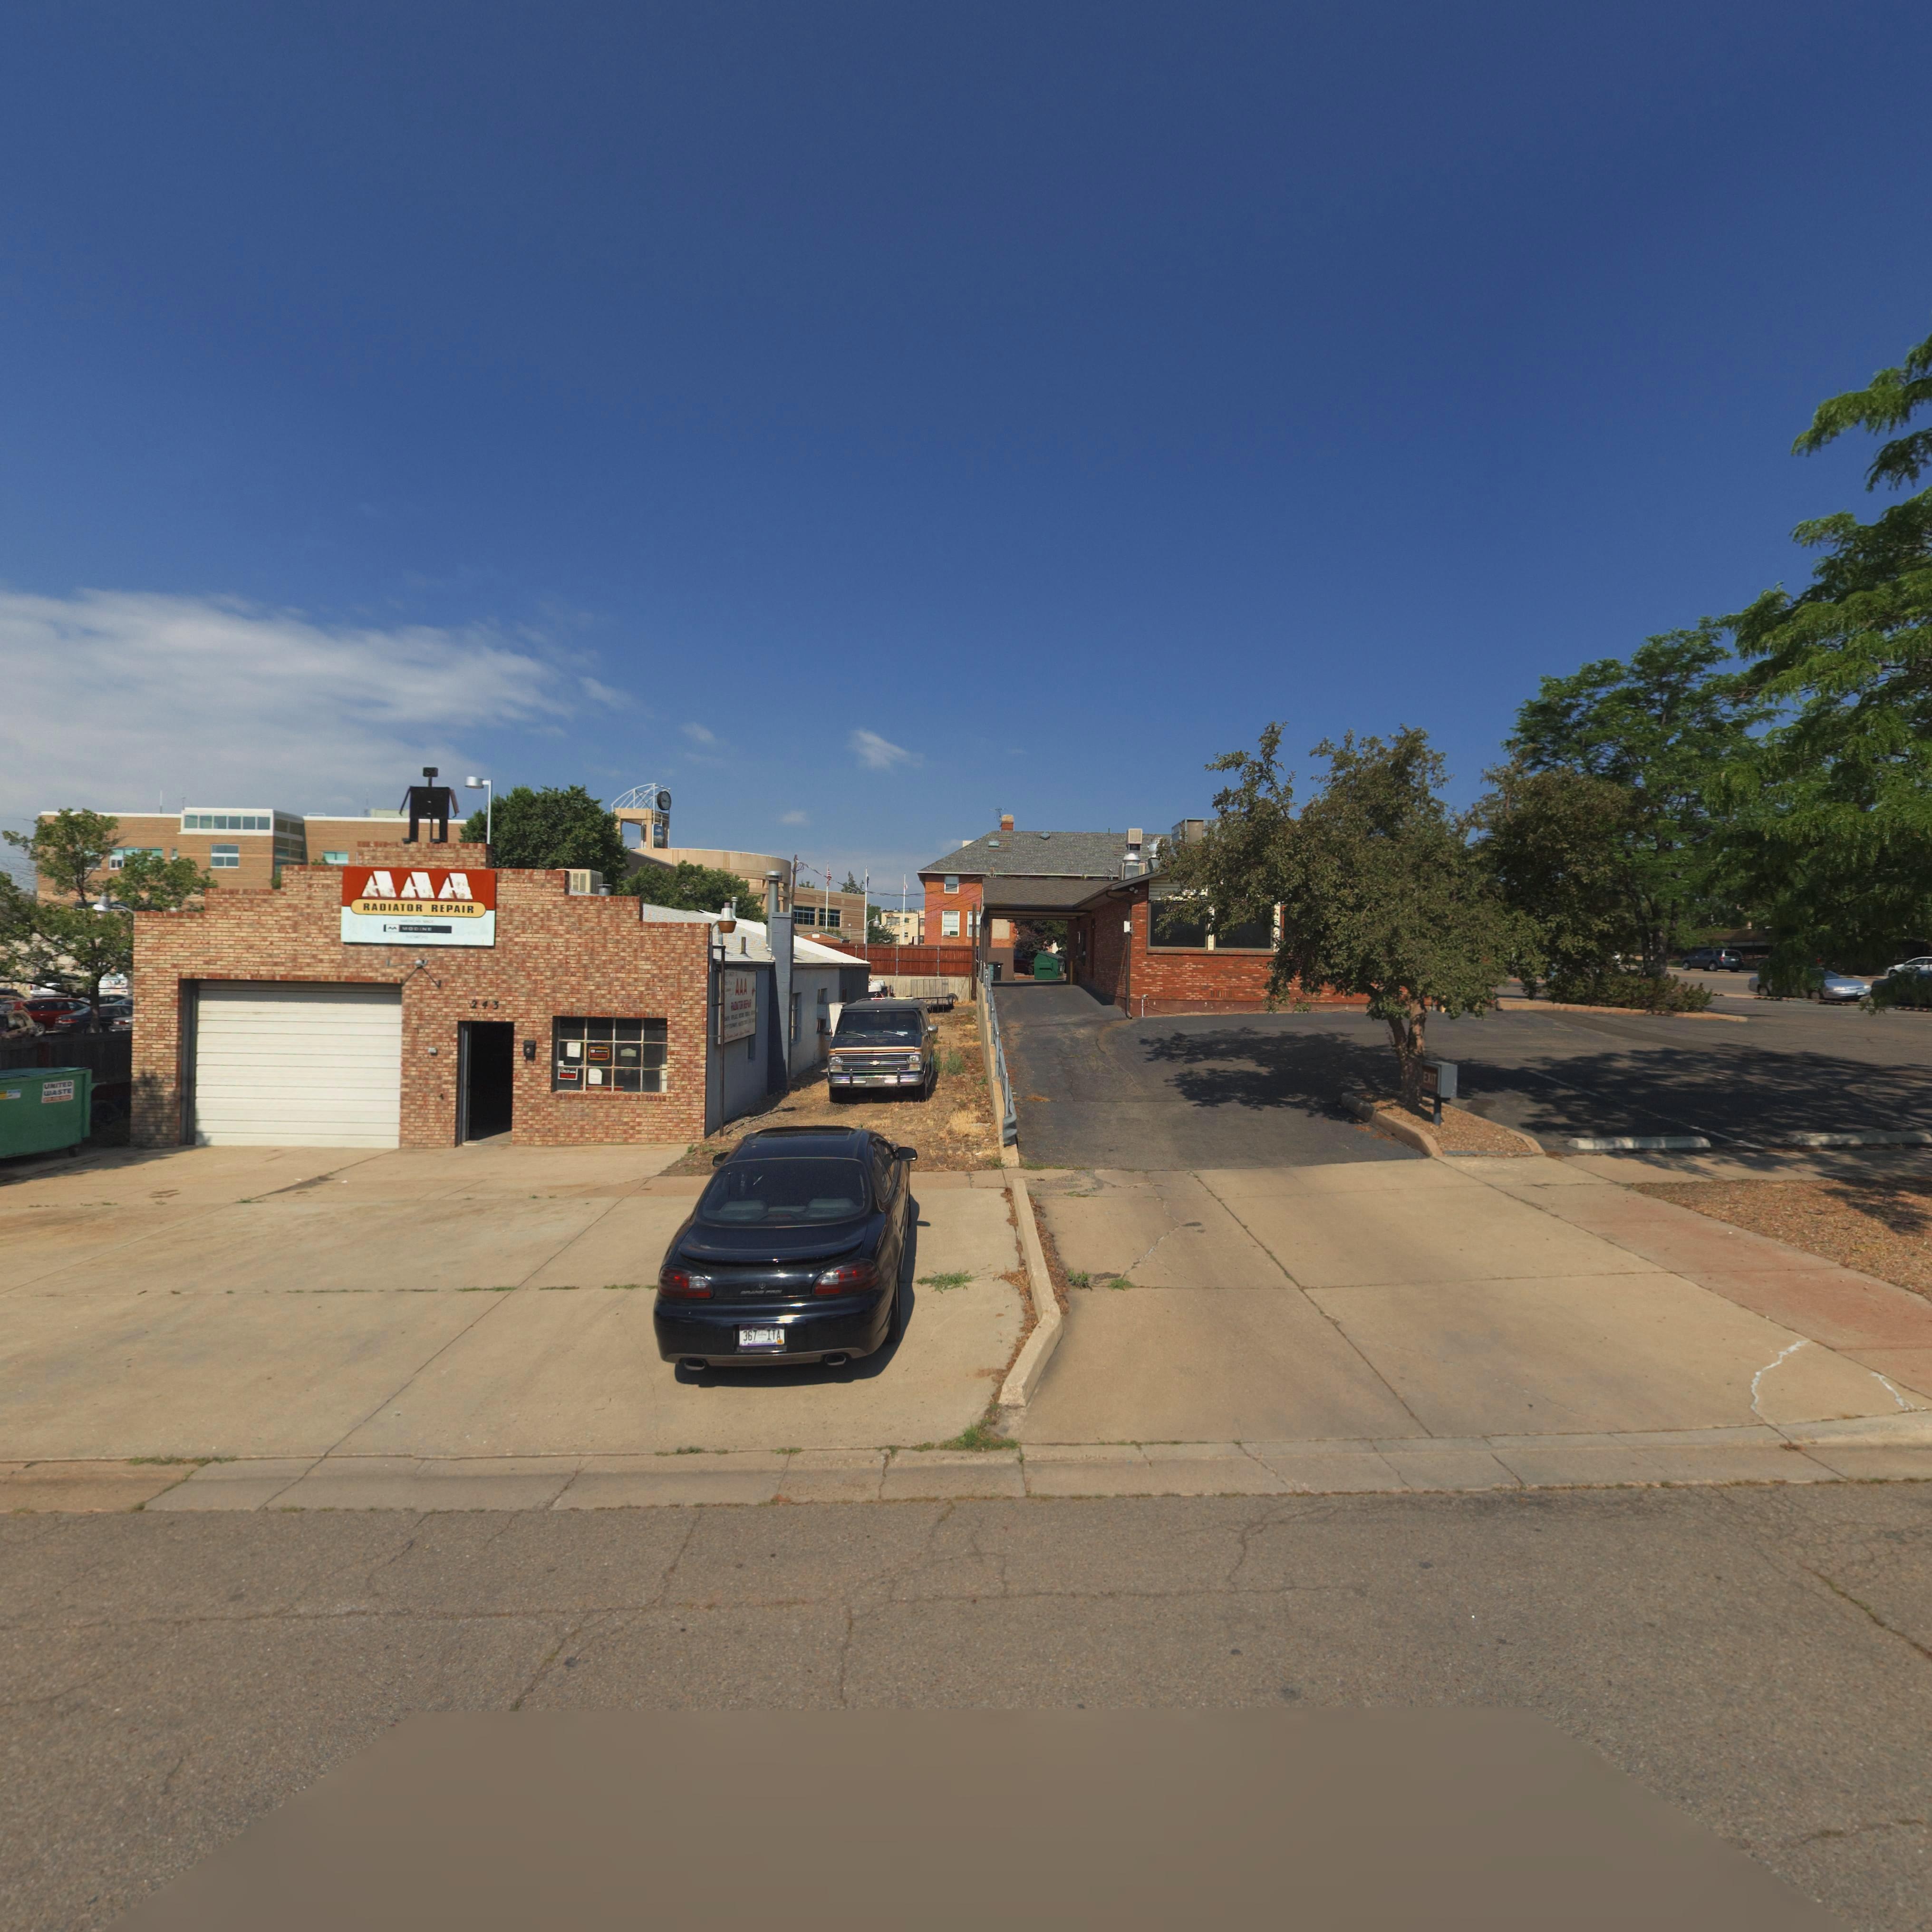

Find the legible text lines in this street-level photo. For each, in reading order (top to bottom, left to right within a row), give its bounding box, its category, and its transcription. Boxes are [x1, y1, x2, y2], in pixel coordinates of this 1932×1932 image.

[360, 869, 473, 900] BusinessName: AAA
[363, 902, 473, 913] BusinessName: RADIATOR REPAIR
[734, 977, 747, 996] BusinessName: AAA
[471, 999, 499, 1010] StreetNumber: 243
[730, 998, 752, 1011] BusinessName: RADIATOR REPAIR